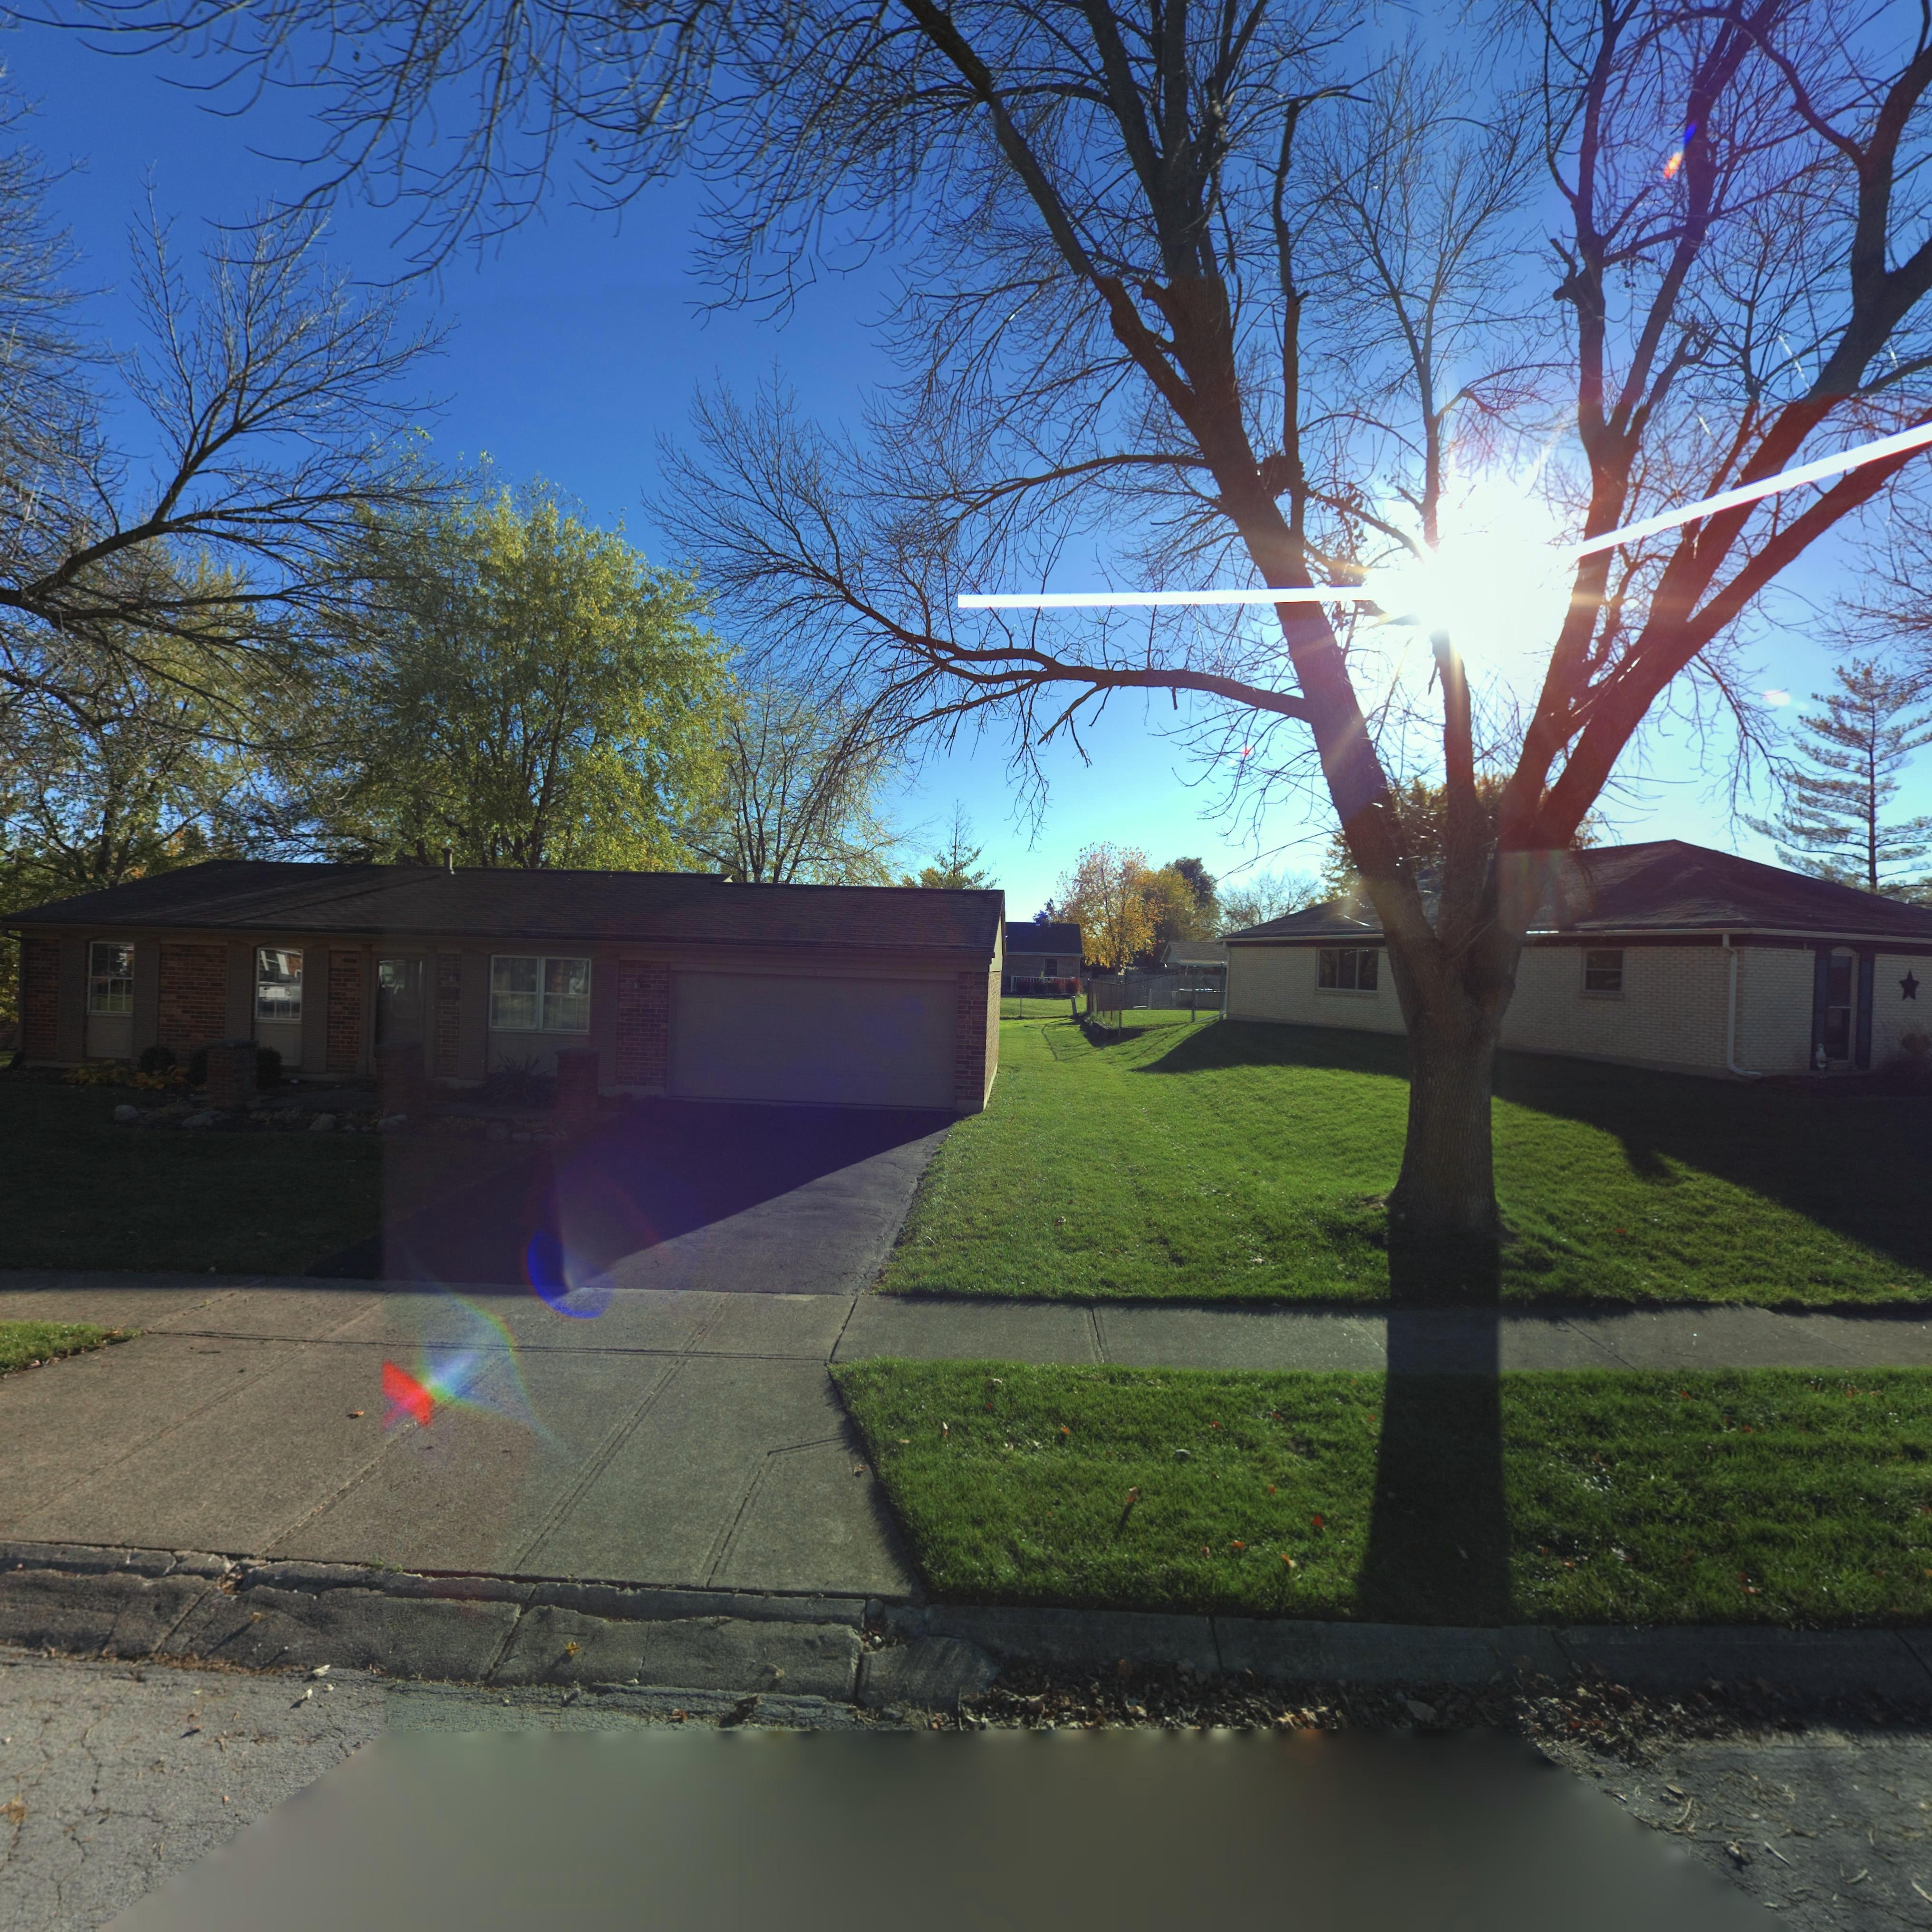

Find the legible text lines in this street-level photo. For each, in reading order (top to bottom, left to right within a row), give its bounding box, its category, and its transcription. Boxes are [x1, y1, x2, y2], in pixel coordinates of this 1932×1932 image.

[800, 967, 825, 977] StreetNumber: 4556